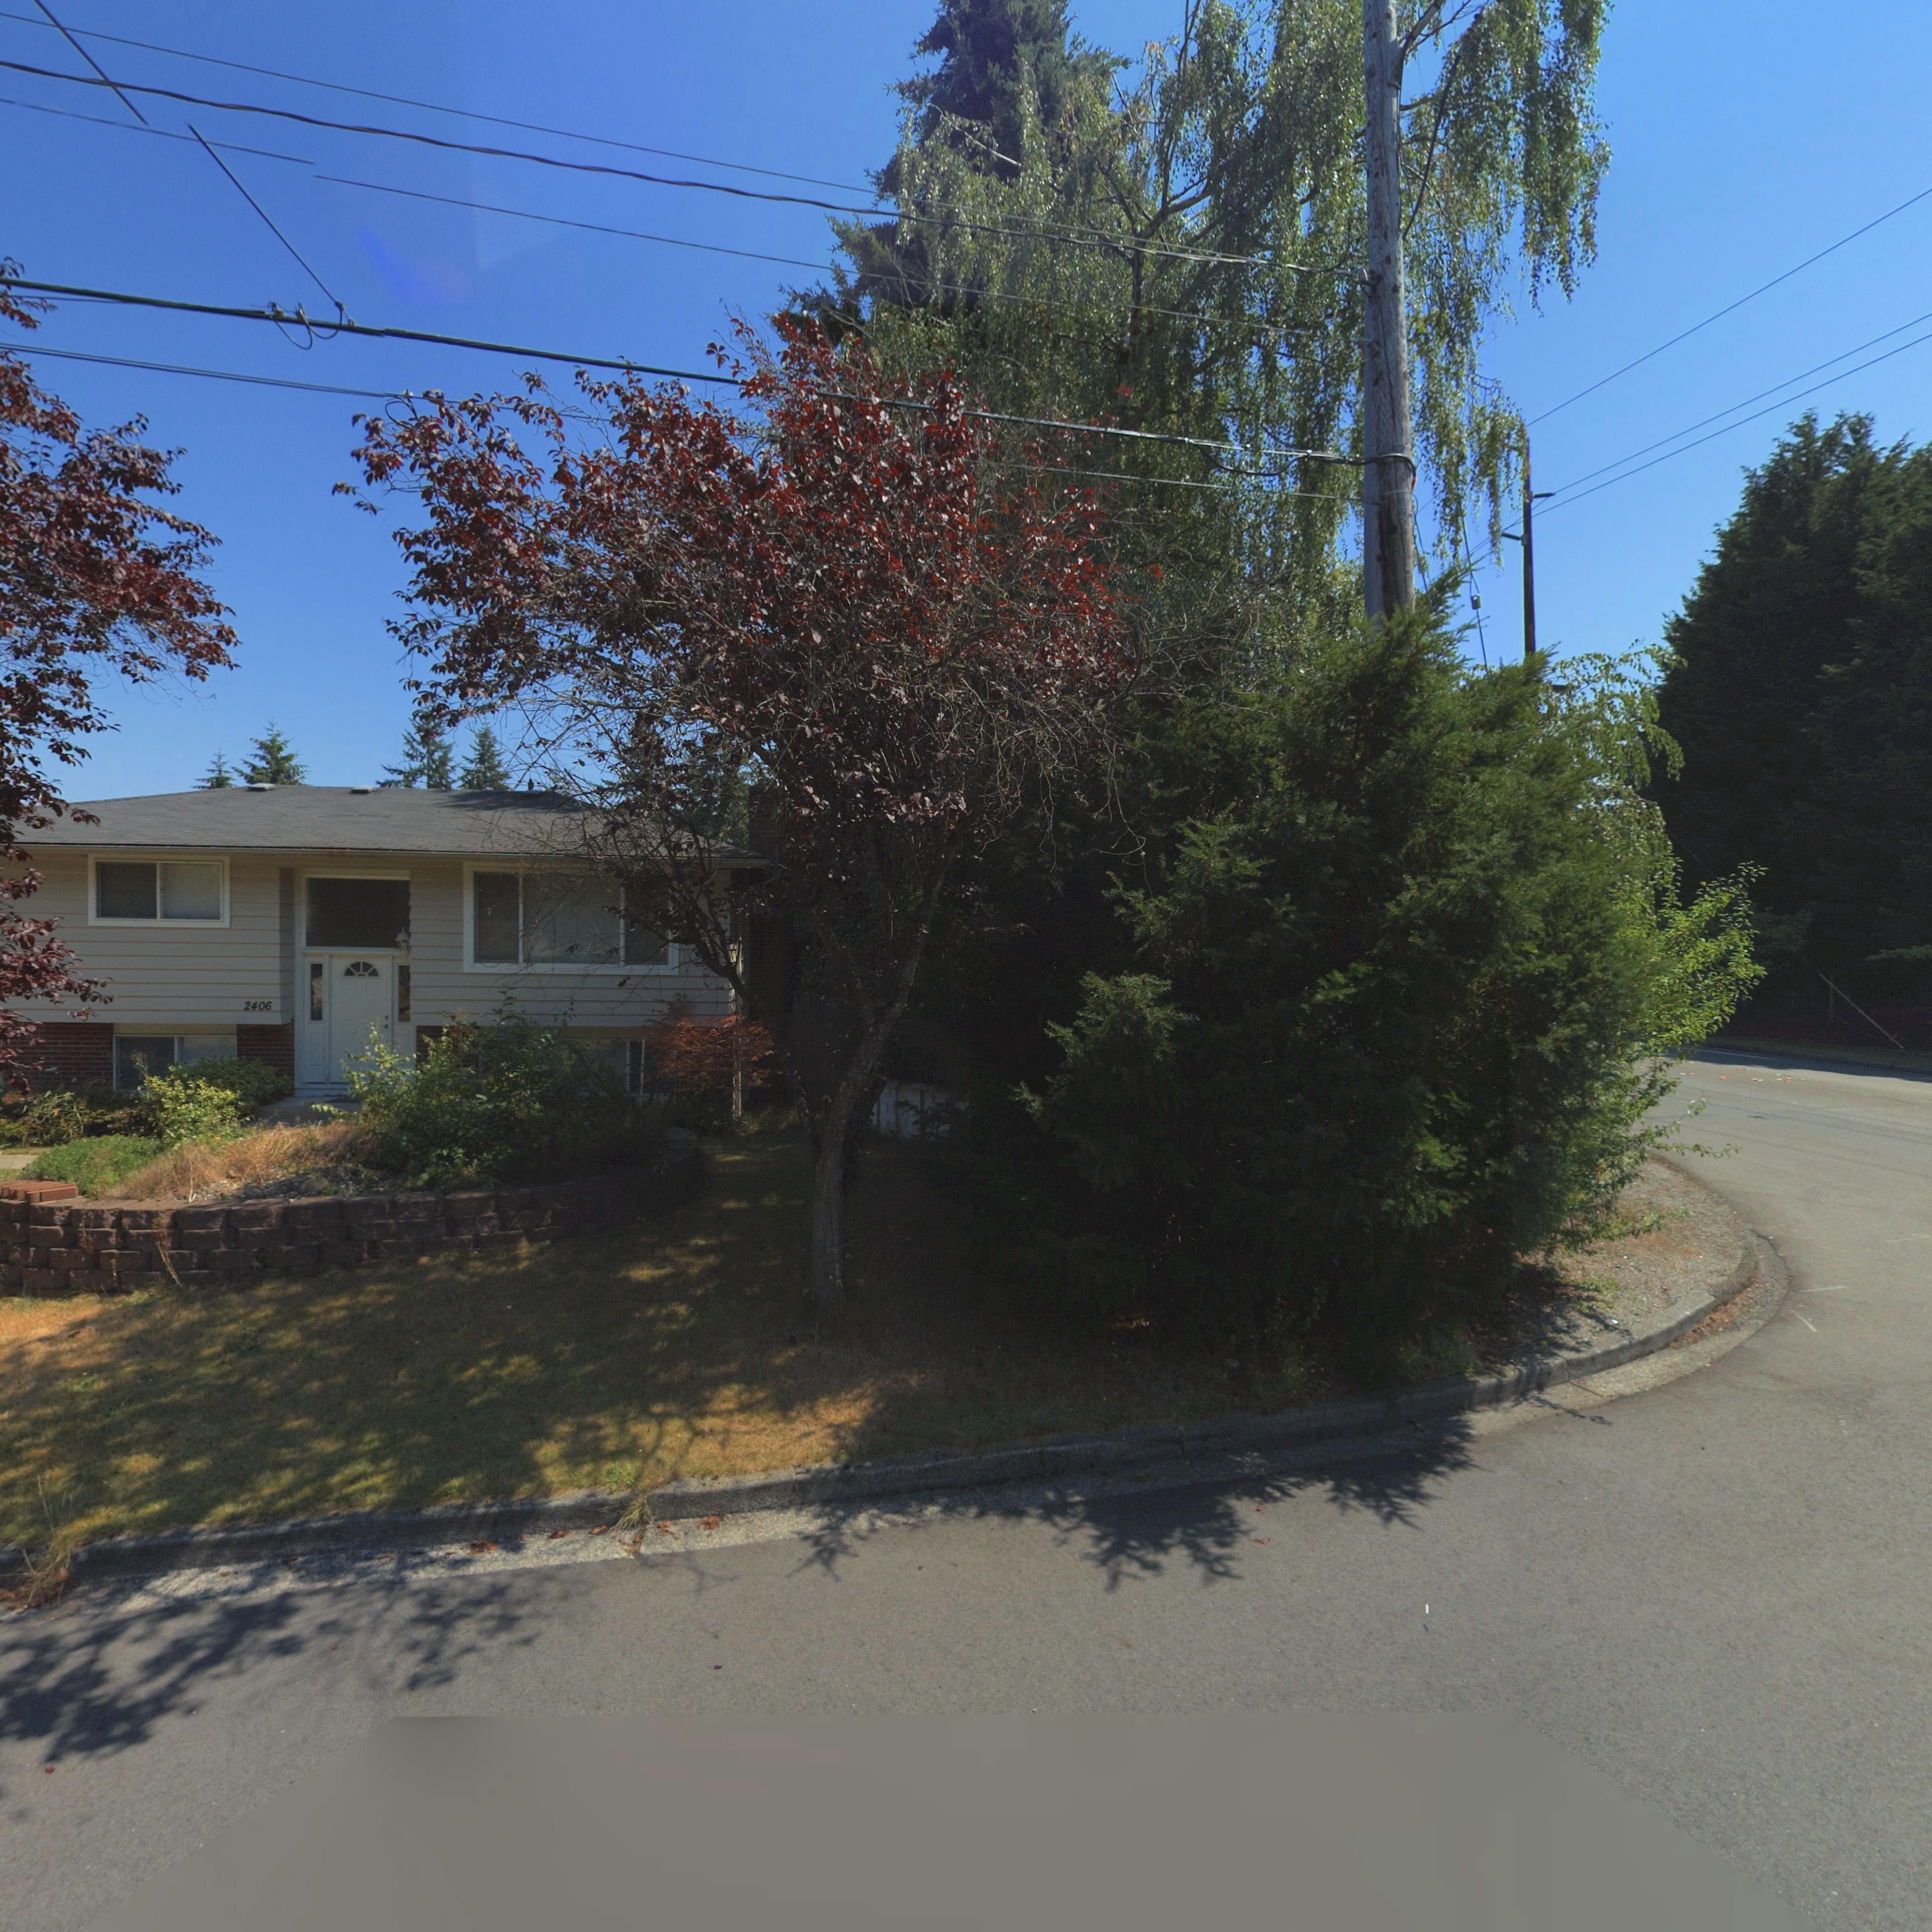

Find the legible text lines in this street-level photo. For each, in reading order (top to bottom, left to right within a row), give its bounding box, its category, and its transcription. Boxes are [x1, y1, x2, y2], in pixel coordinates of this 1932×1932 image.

[243, 1001, 272, 1011] StreetNumber: 2406